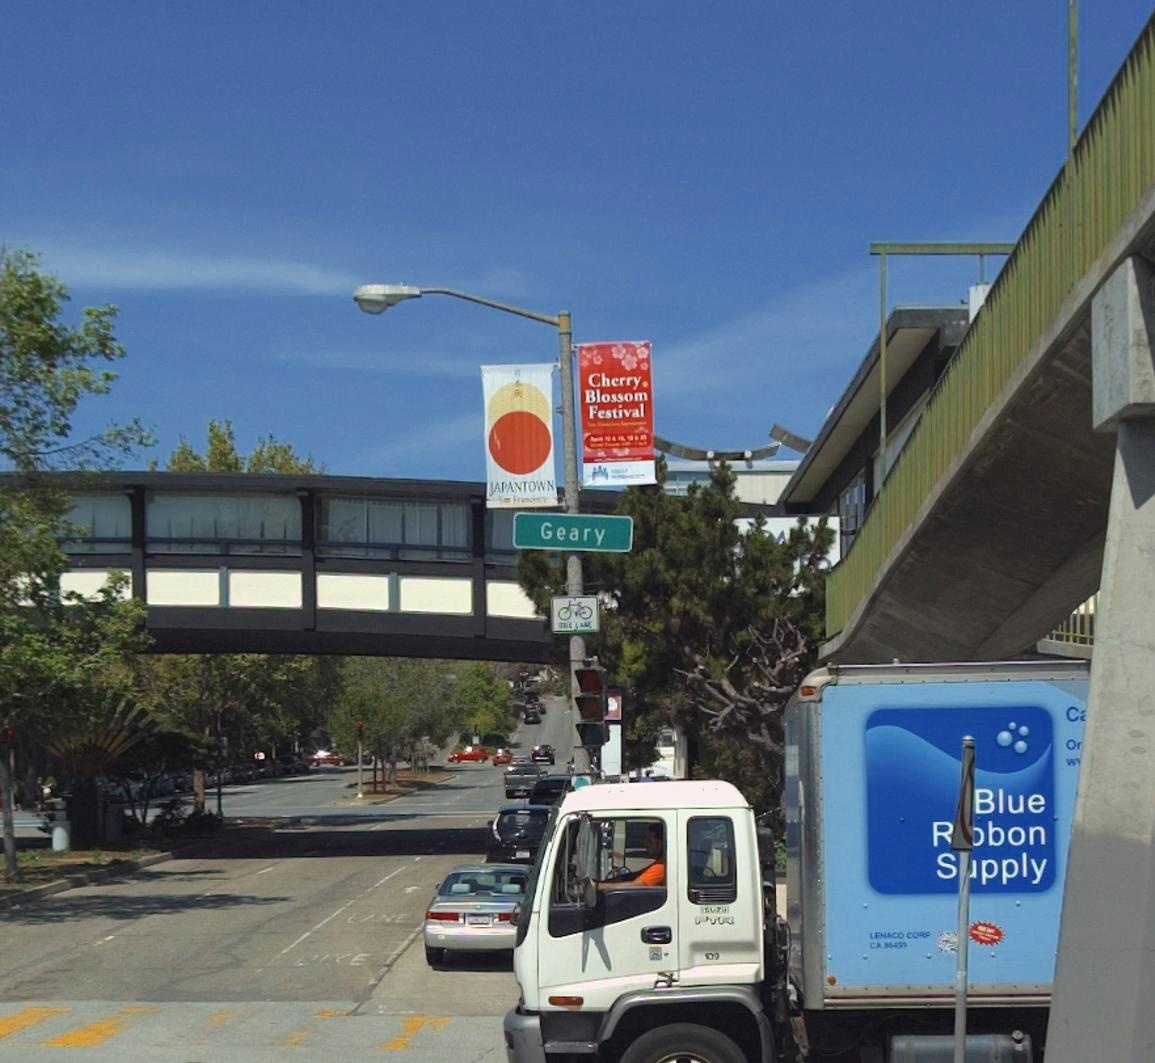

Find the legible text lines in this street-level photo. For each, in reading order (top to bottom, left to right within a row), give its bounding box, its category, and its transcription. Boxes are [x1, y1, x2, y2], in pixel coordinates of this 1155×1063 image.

[586, 372, 643, 391] None: Cherry
[584, 387, 648, 404] None: Blossom
[588, 403, 645, 420] None: Festival
[487, 478, 555, 497] None: JAPANTOWN
[539, 519, 607, 548] StreetName: Geary
[1065, 704, 1080, 723] None: C
[1064, 738, 1077, 750] None: O
[1062, 756, 1079, 767] None: W
[973, 786, 1047, 815] None: Blue
[931, 819, 1046, 849] None: R**bon
[933, 850, 1051, 888] None: S*pply
[868, 928, 933, 941] None: LENACO CP**
[867, 939, 910, 952] None: CA, **499
[704, 949, 723, 962] None: 109